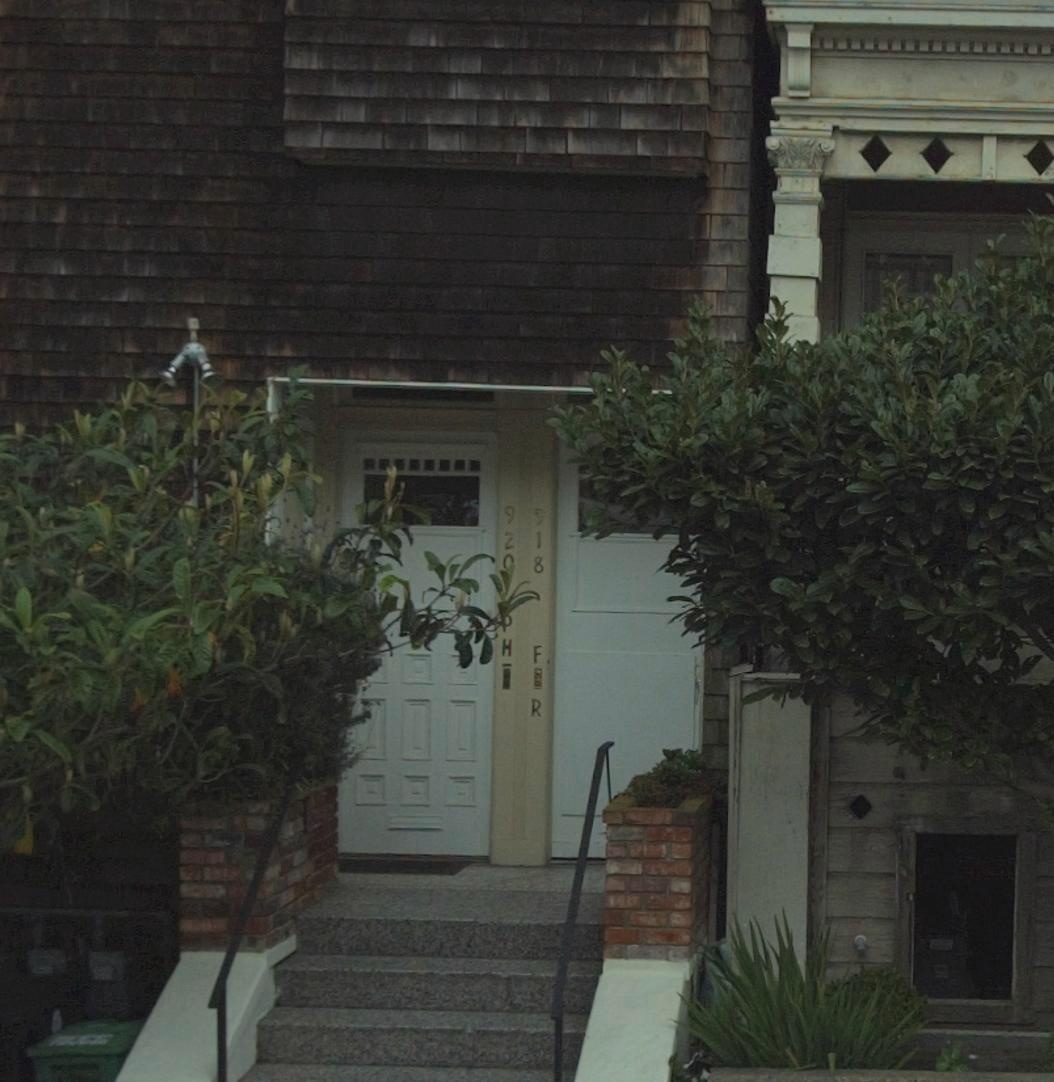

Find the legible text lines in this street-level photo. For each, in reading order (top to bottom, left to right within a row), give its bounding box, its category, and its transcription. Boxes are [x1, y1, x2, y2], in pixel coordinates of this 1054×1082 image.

[503, 504, 516, 573] StreetNumber: 920
[532, 507, 544, 573] StreetNumber: 918
[501, 637, 510, 657] SecondaryUnitDesignator: H
[533, 645, 543, 664] SecondaryUnitDesignator: F
[530, 698, 541, 718] SecondaryUnitDesignator: R